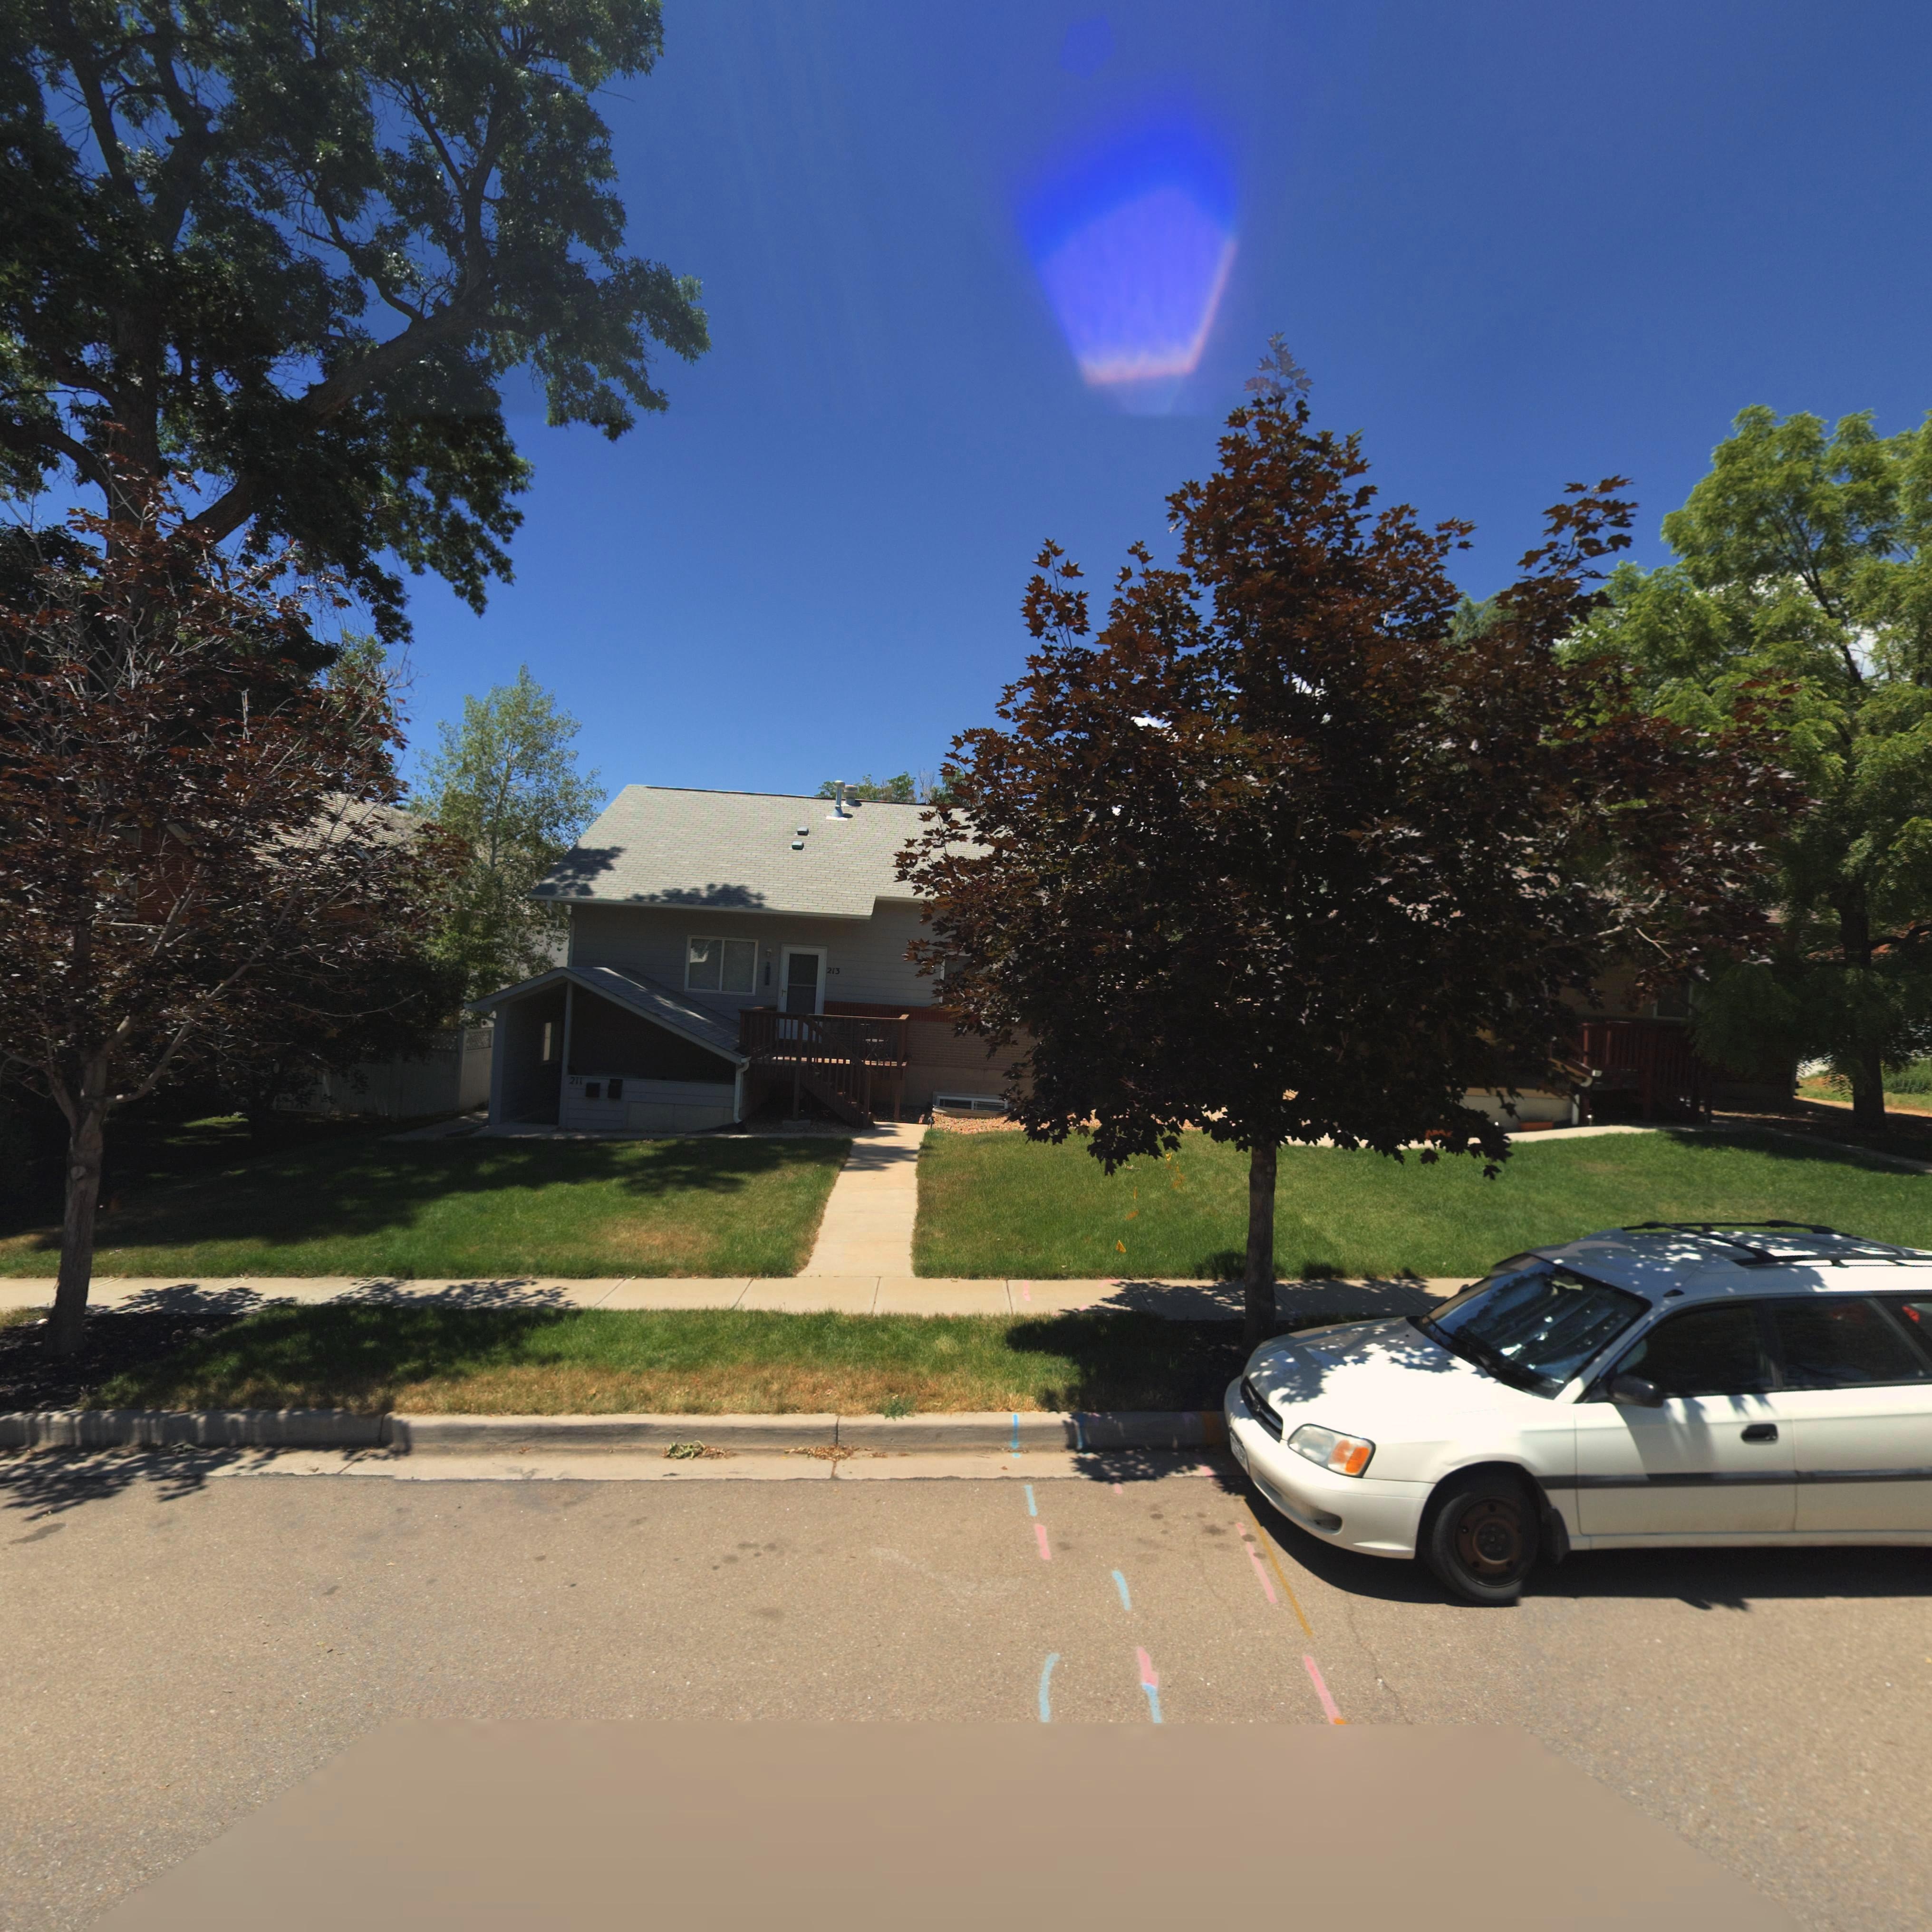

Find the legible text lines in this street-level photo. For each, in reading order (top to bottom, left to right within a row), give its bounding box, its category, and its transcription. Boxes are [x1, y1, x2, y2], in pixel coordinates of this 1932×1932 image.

[825, 967, 840, 976] StreetNumber: 213
[569, 1076, 582, 1085] StreetNumber: 211